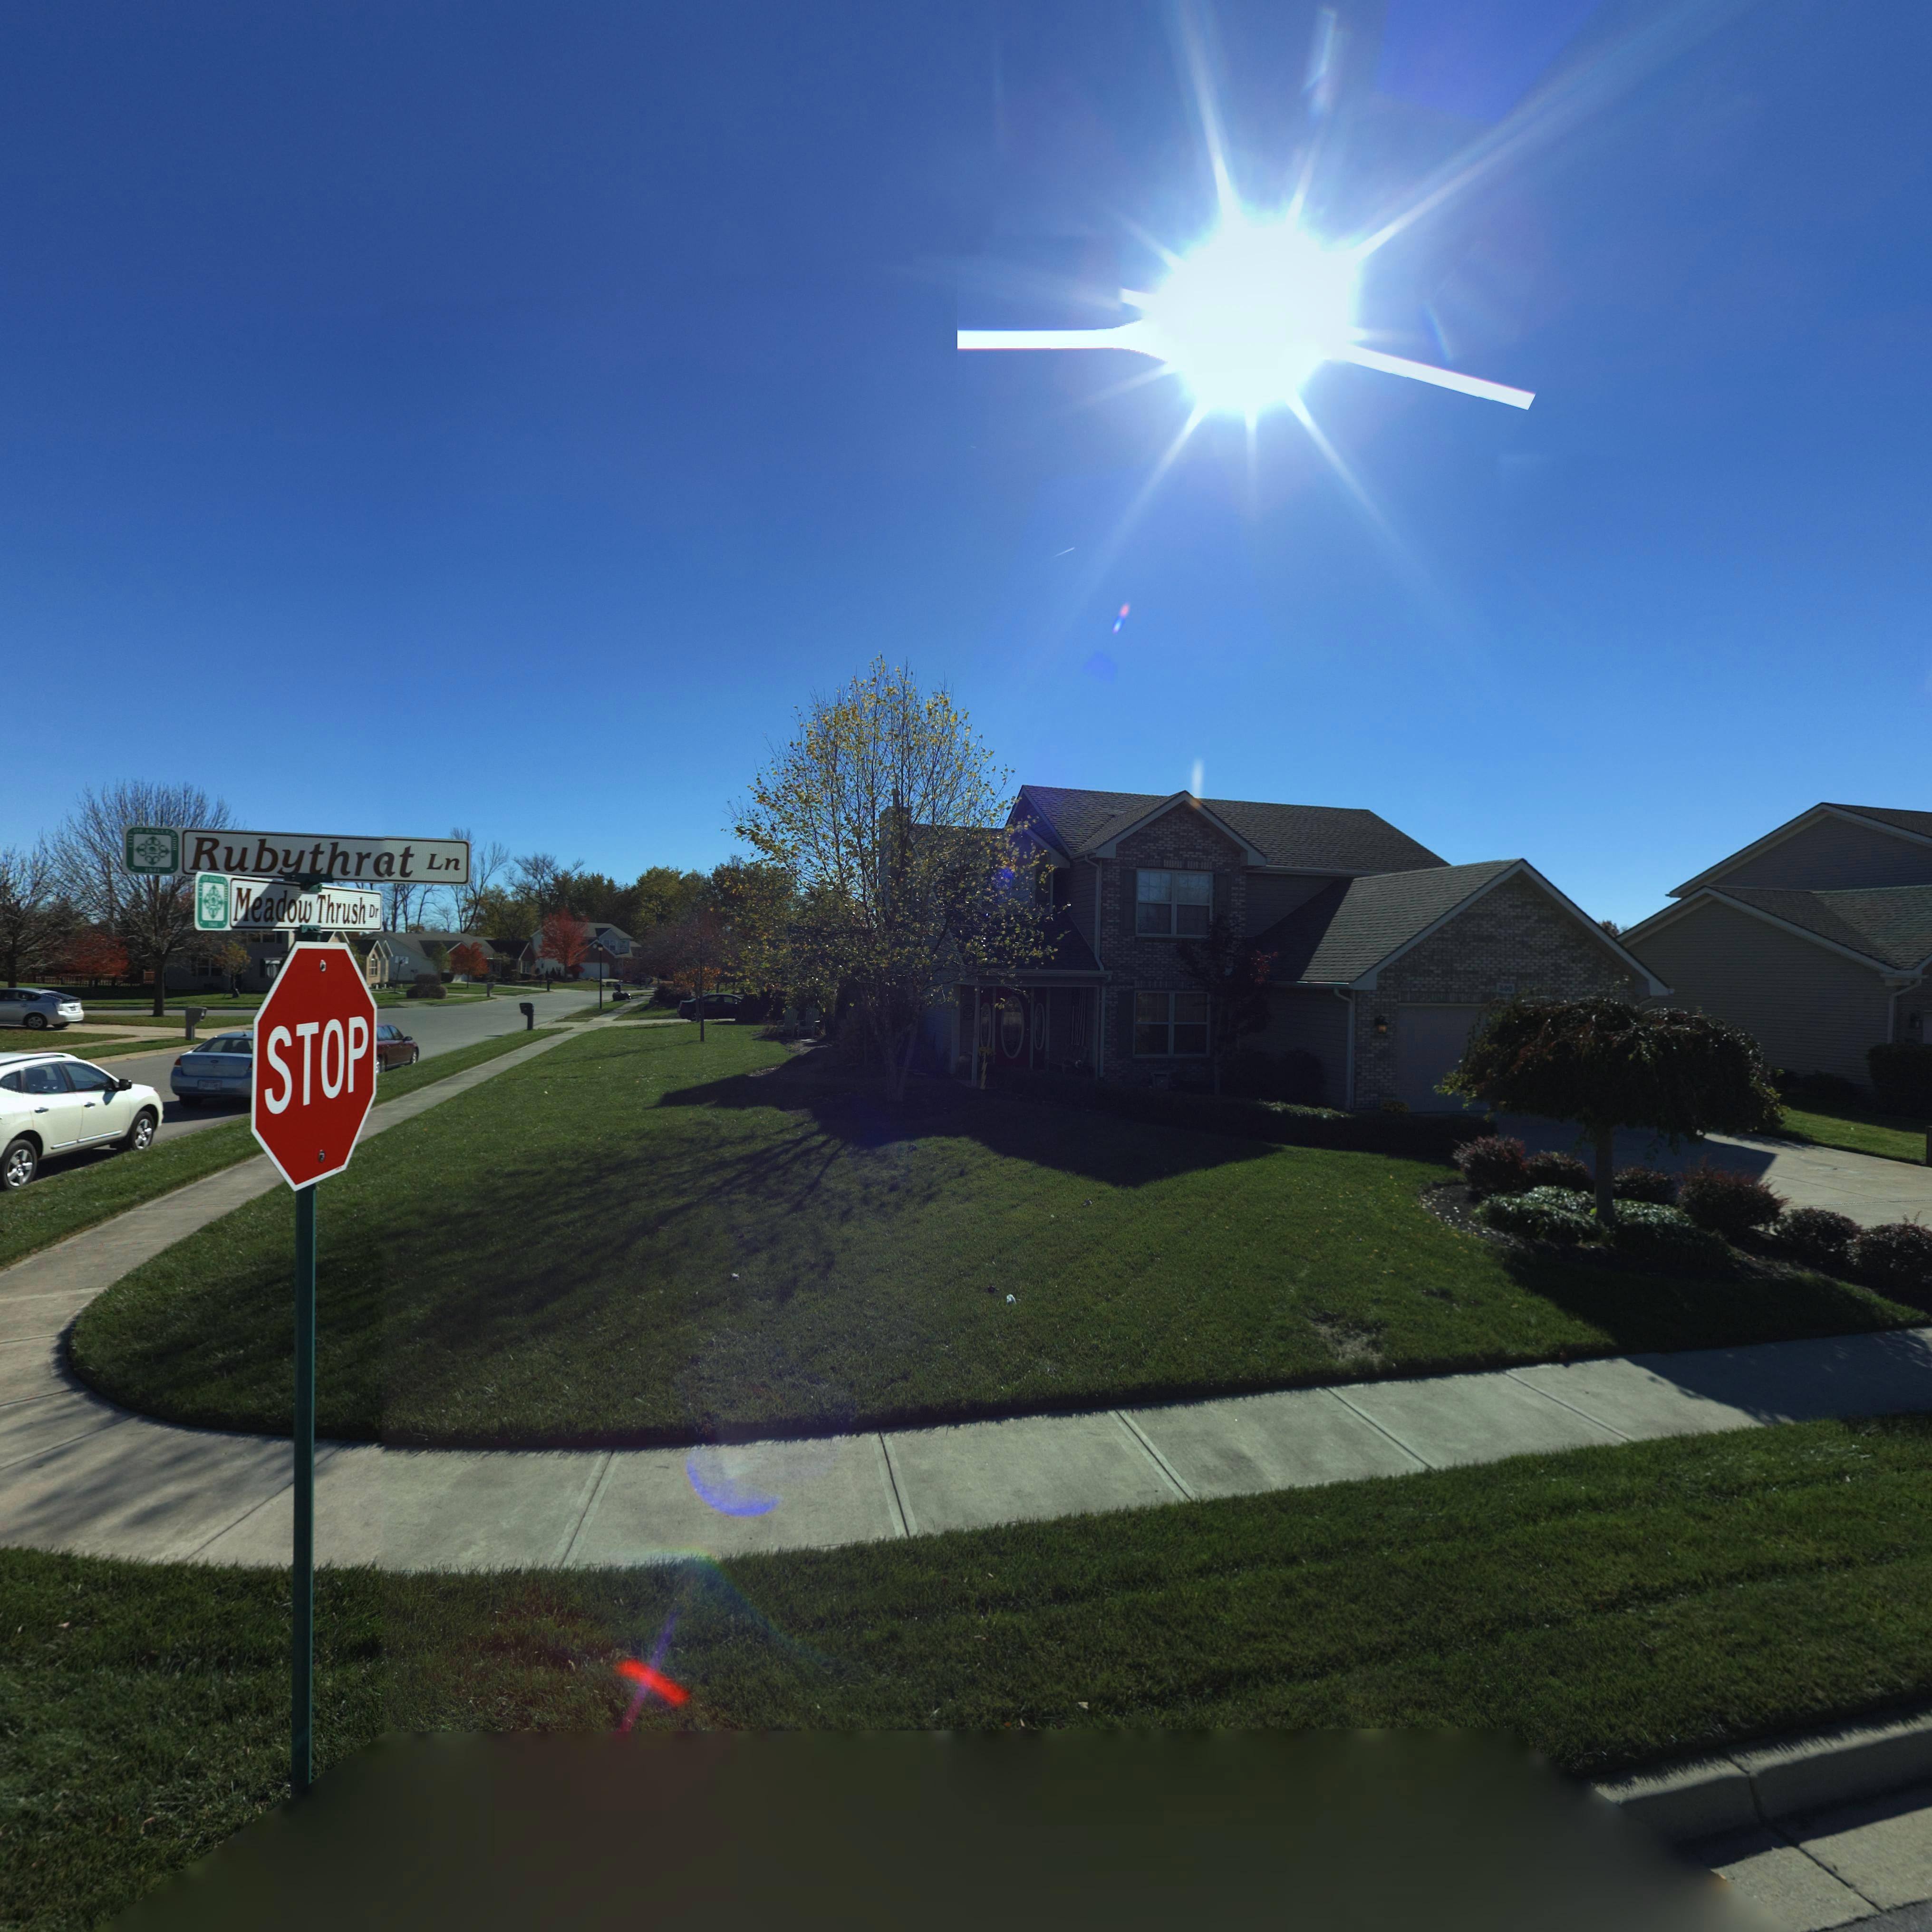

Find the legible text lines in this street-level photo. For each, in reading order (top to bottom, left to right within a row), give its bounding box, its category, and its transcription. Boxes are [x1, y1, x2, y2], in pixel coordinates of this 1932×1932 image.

[188, 835, 462, 879] StreetName: Rubythr*t Ln
[232, 885, 381, 926] StreetName: Meadow Thrush Dr
[1498, 985, 1514, 993] StreetNumber: *00